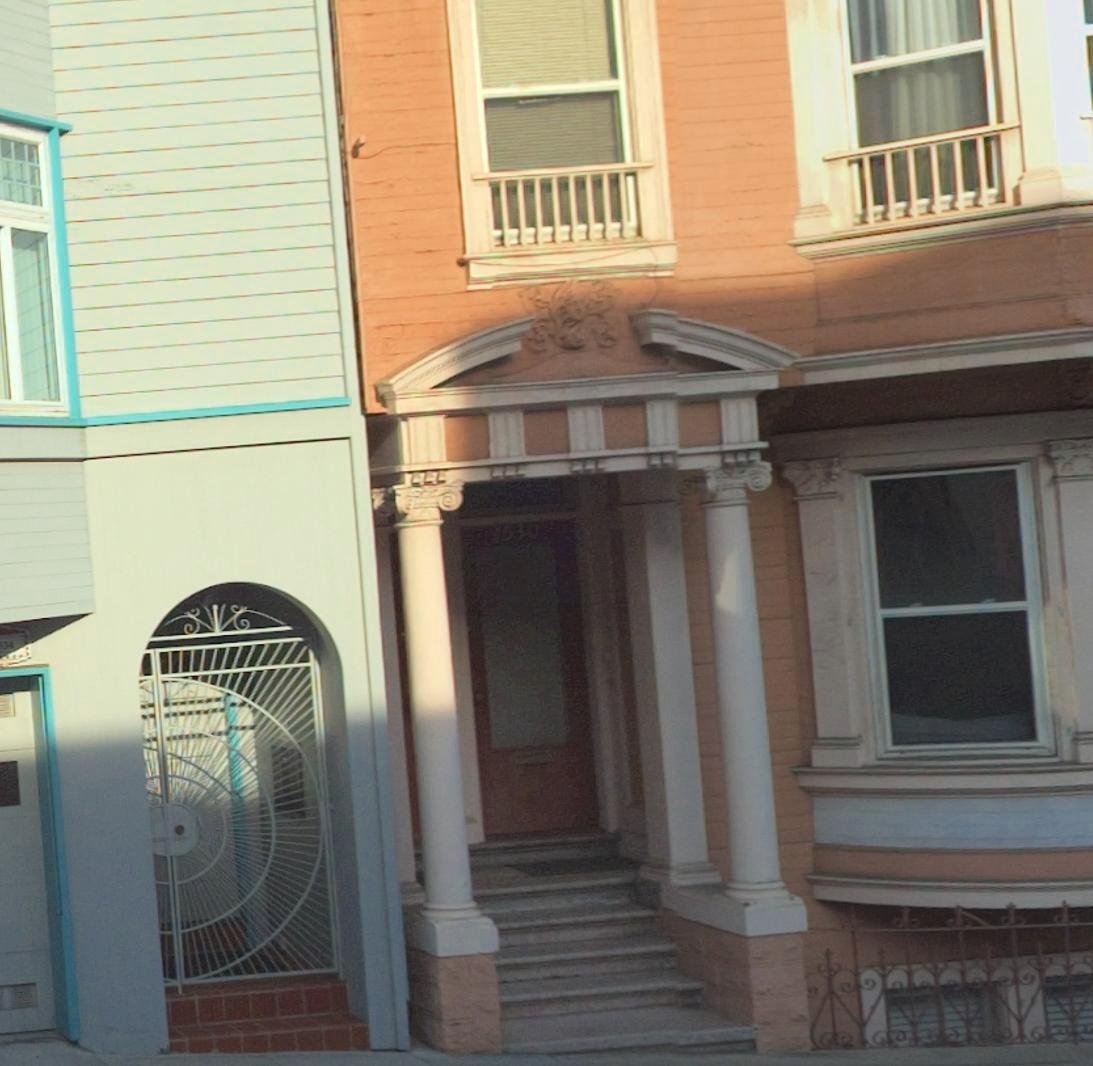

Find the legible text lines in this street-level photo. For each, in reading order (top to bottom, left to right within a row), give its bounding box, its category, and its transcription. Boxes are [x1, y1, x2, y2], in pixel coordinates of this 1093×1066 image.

[490, 517, 541, 546] StreetNumber: 1530